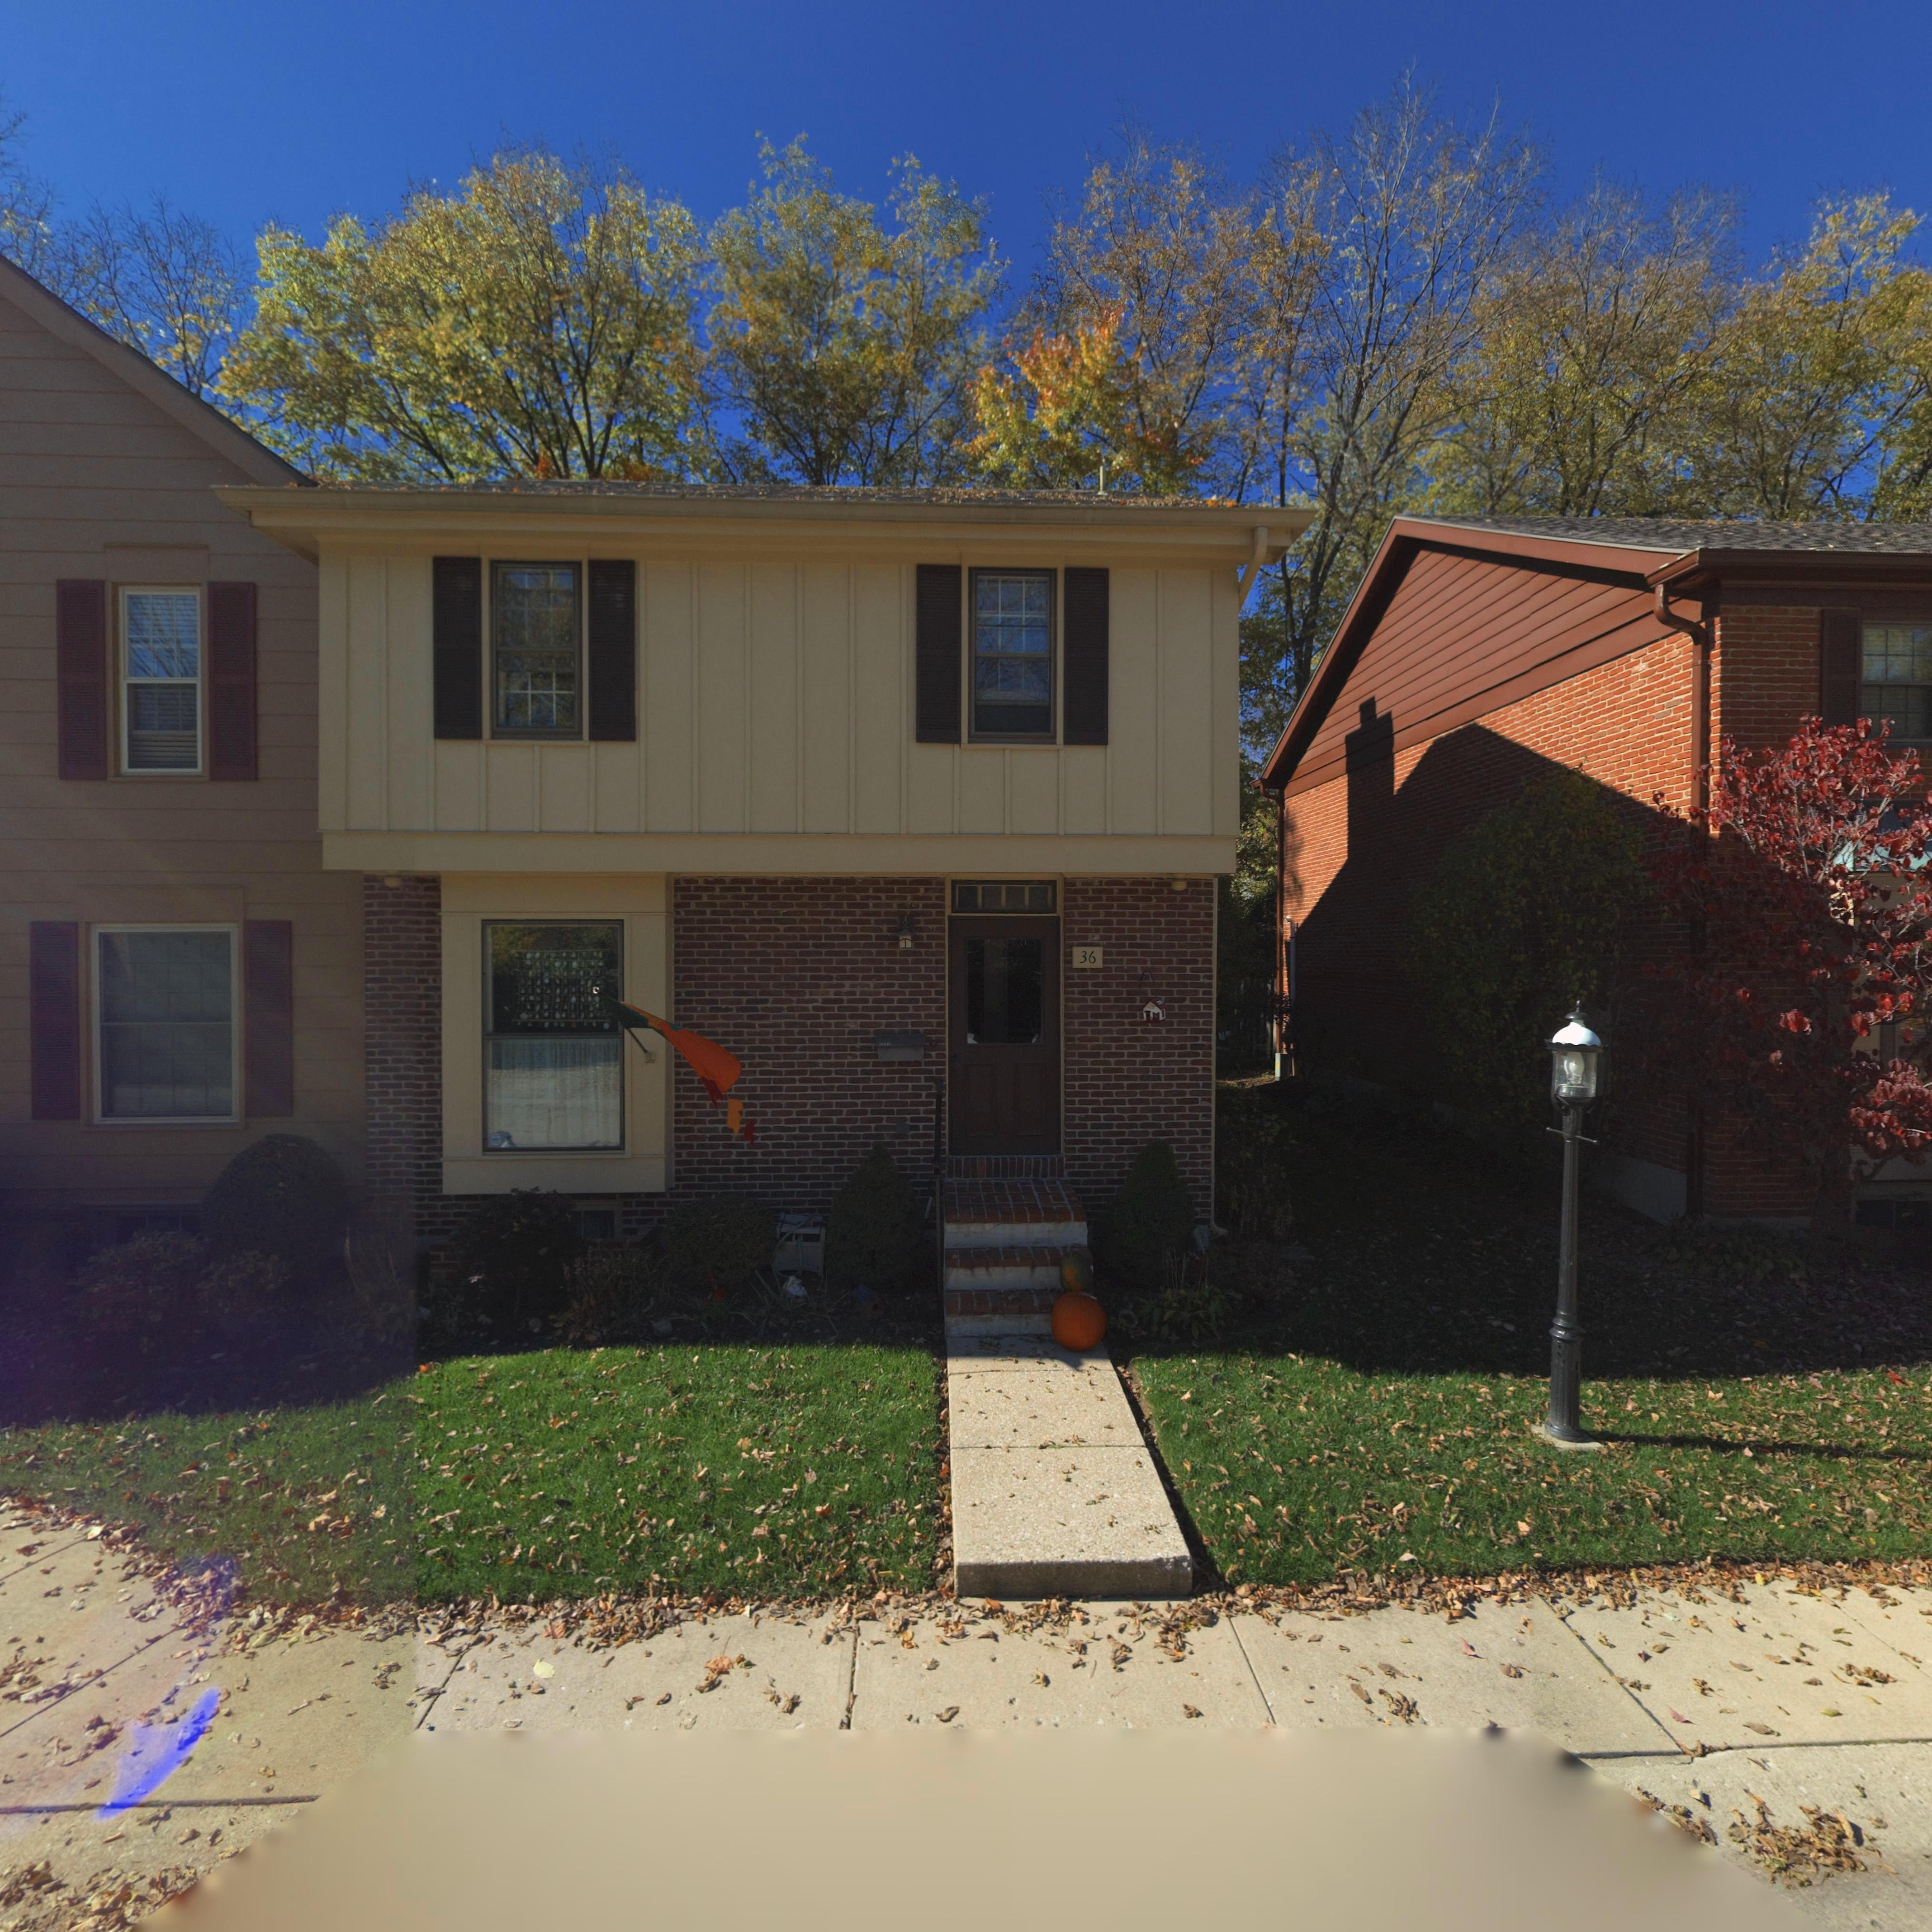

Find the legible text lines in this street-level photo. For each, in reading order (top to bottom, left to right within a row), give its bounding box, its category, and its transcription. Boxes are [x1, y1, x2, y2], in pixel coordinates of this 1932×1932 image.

[1079, 950, 1096, 964] StreetNumber: 36